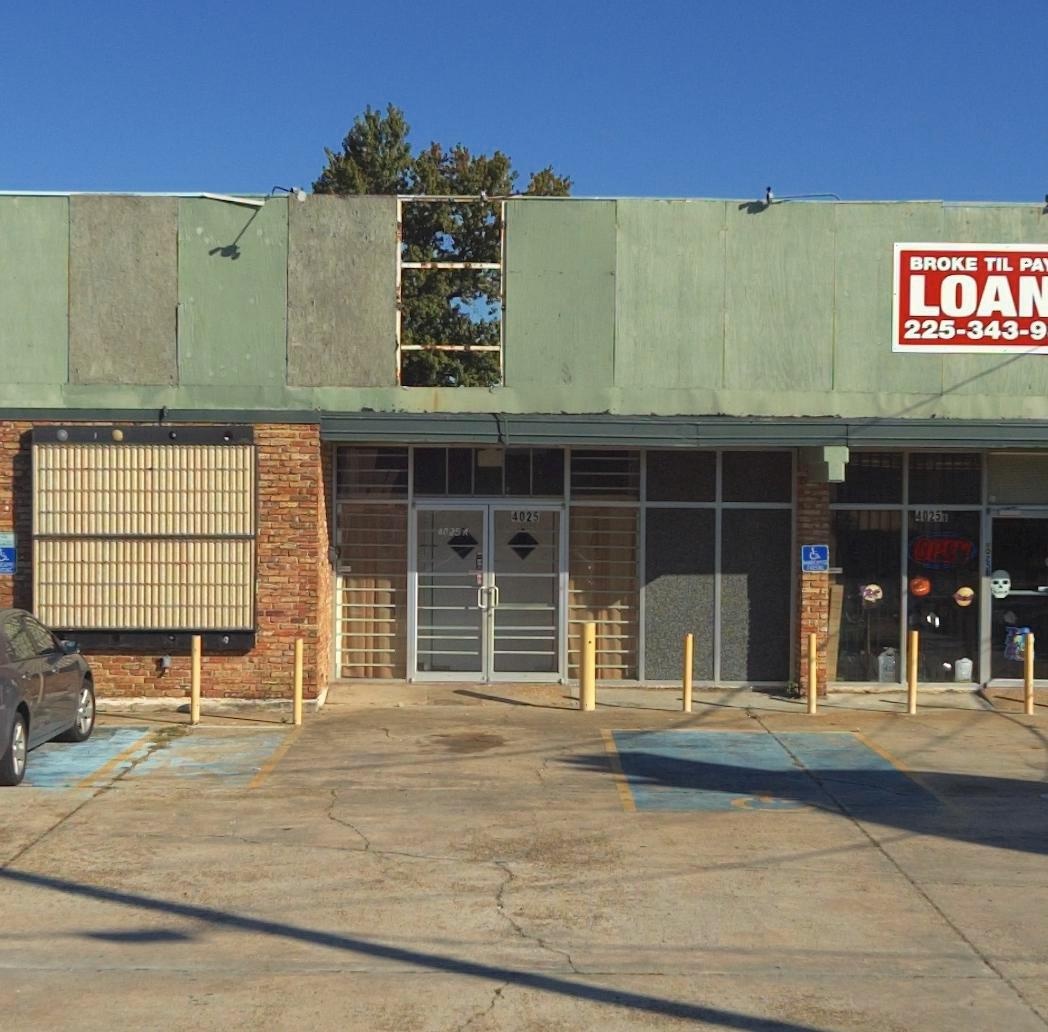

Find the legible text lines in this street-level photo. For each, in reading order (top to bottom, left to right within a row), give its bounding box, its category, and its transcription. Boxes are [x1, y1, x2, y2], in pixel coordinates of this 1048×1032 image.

[906, 253, 1047, 275] None: BROKE TIL PA
[906, 270, 1023, 320] None: LOA
[901, 317, 1047, 343] None: 225-343-9
[511, 509, 540, 524] StreetNumber: 4025
[913, 508, 943, 522] StreetNumber: 4025
[436, 526, 471, 538] StreetNumber: 4025A
[909, 534, 948, 566] None: OP